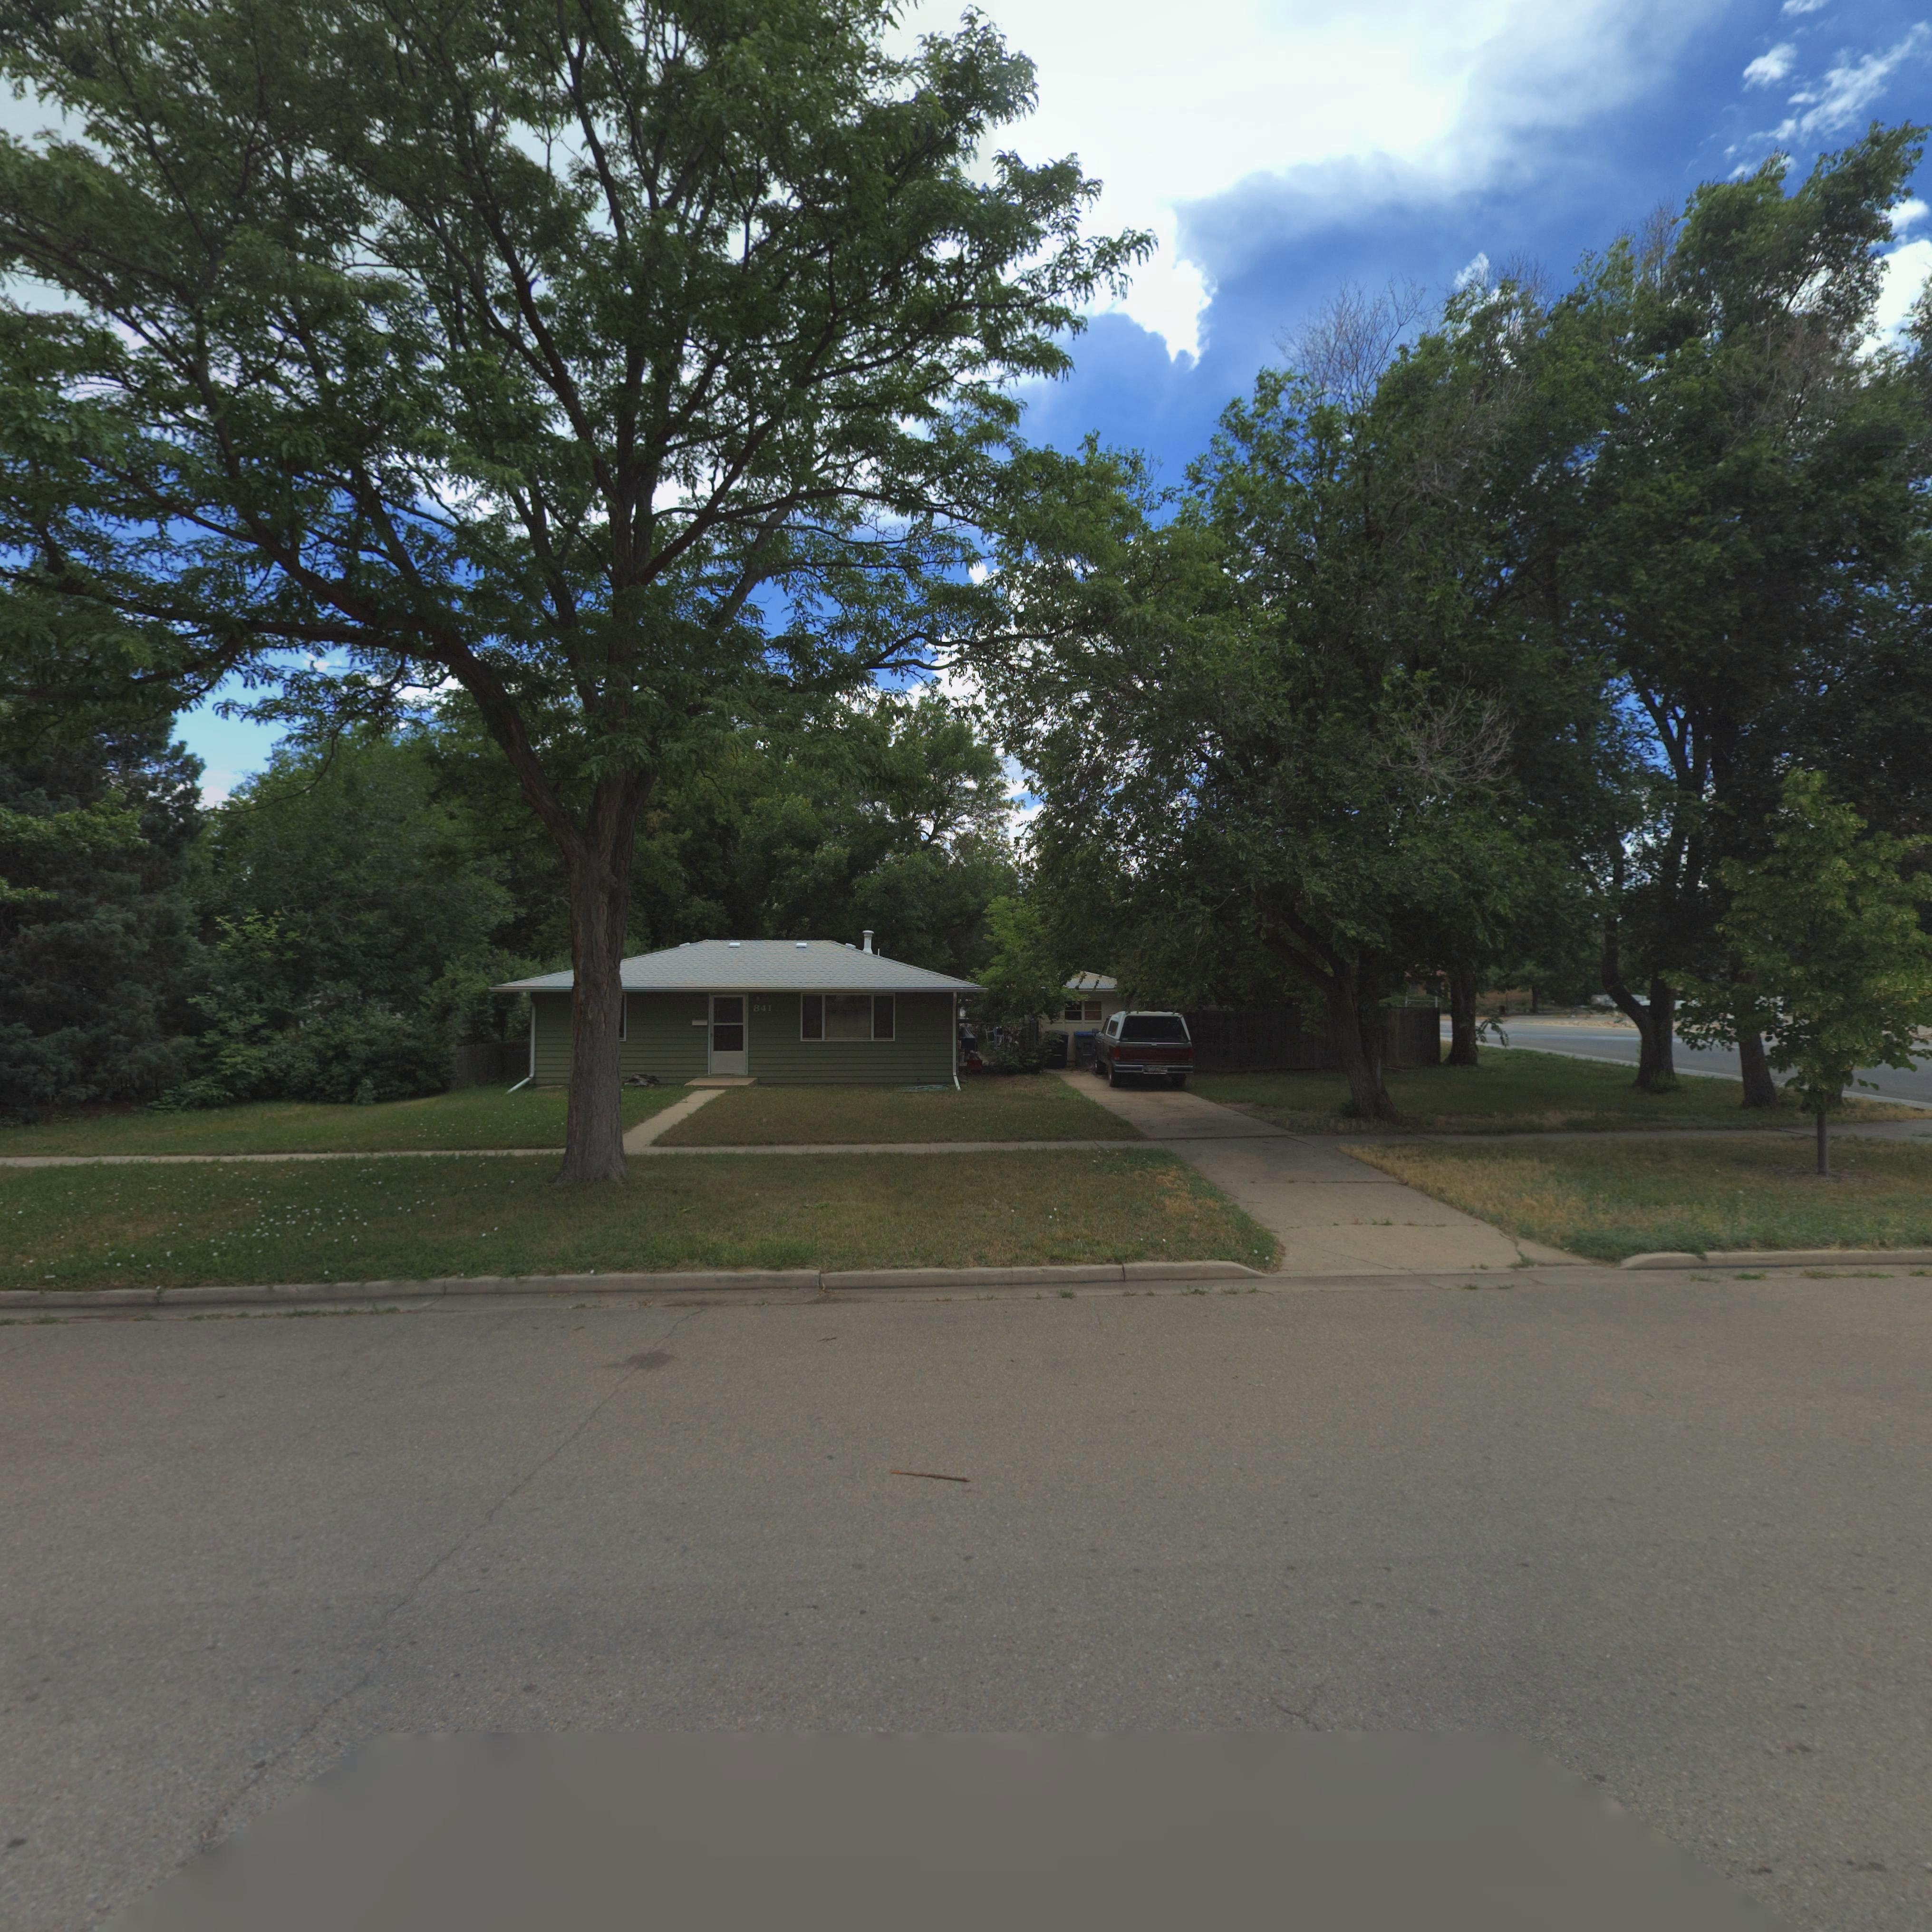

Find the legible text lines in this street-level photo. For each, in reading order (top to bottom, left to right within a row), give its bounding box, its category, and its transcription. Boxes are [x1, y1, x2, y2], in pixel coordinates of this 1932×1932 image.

[753, 1004, 772, 1012] StreetNumber: 841